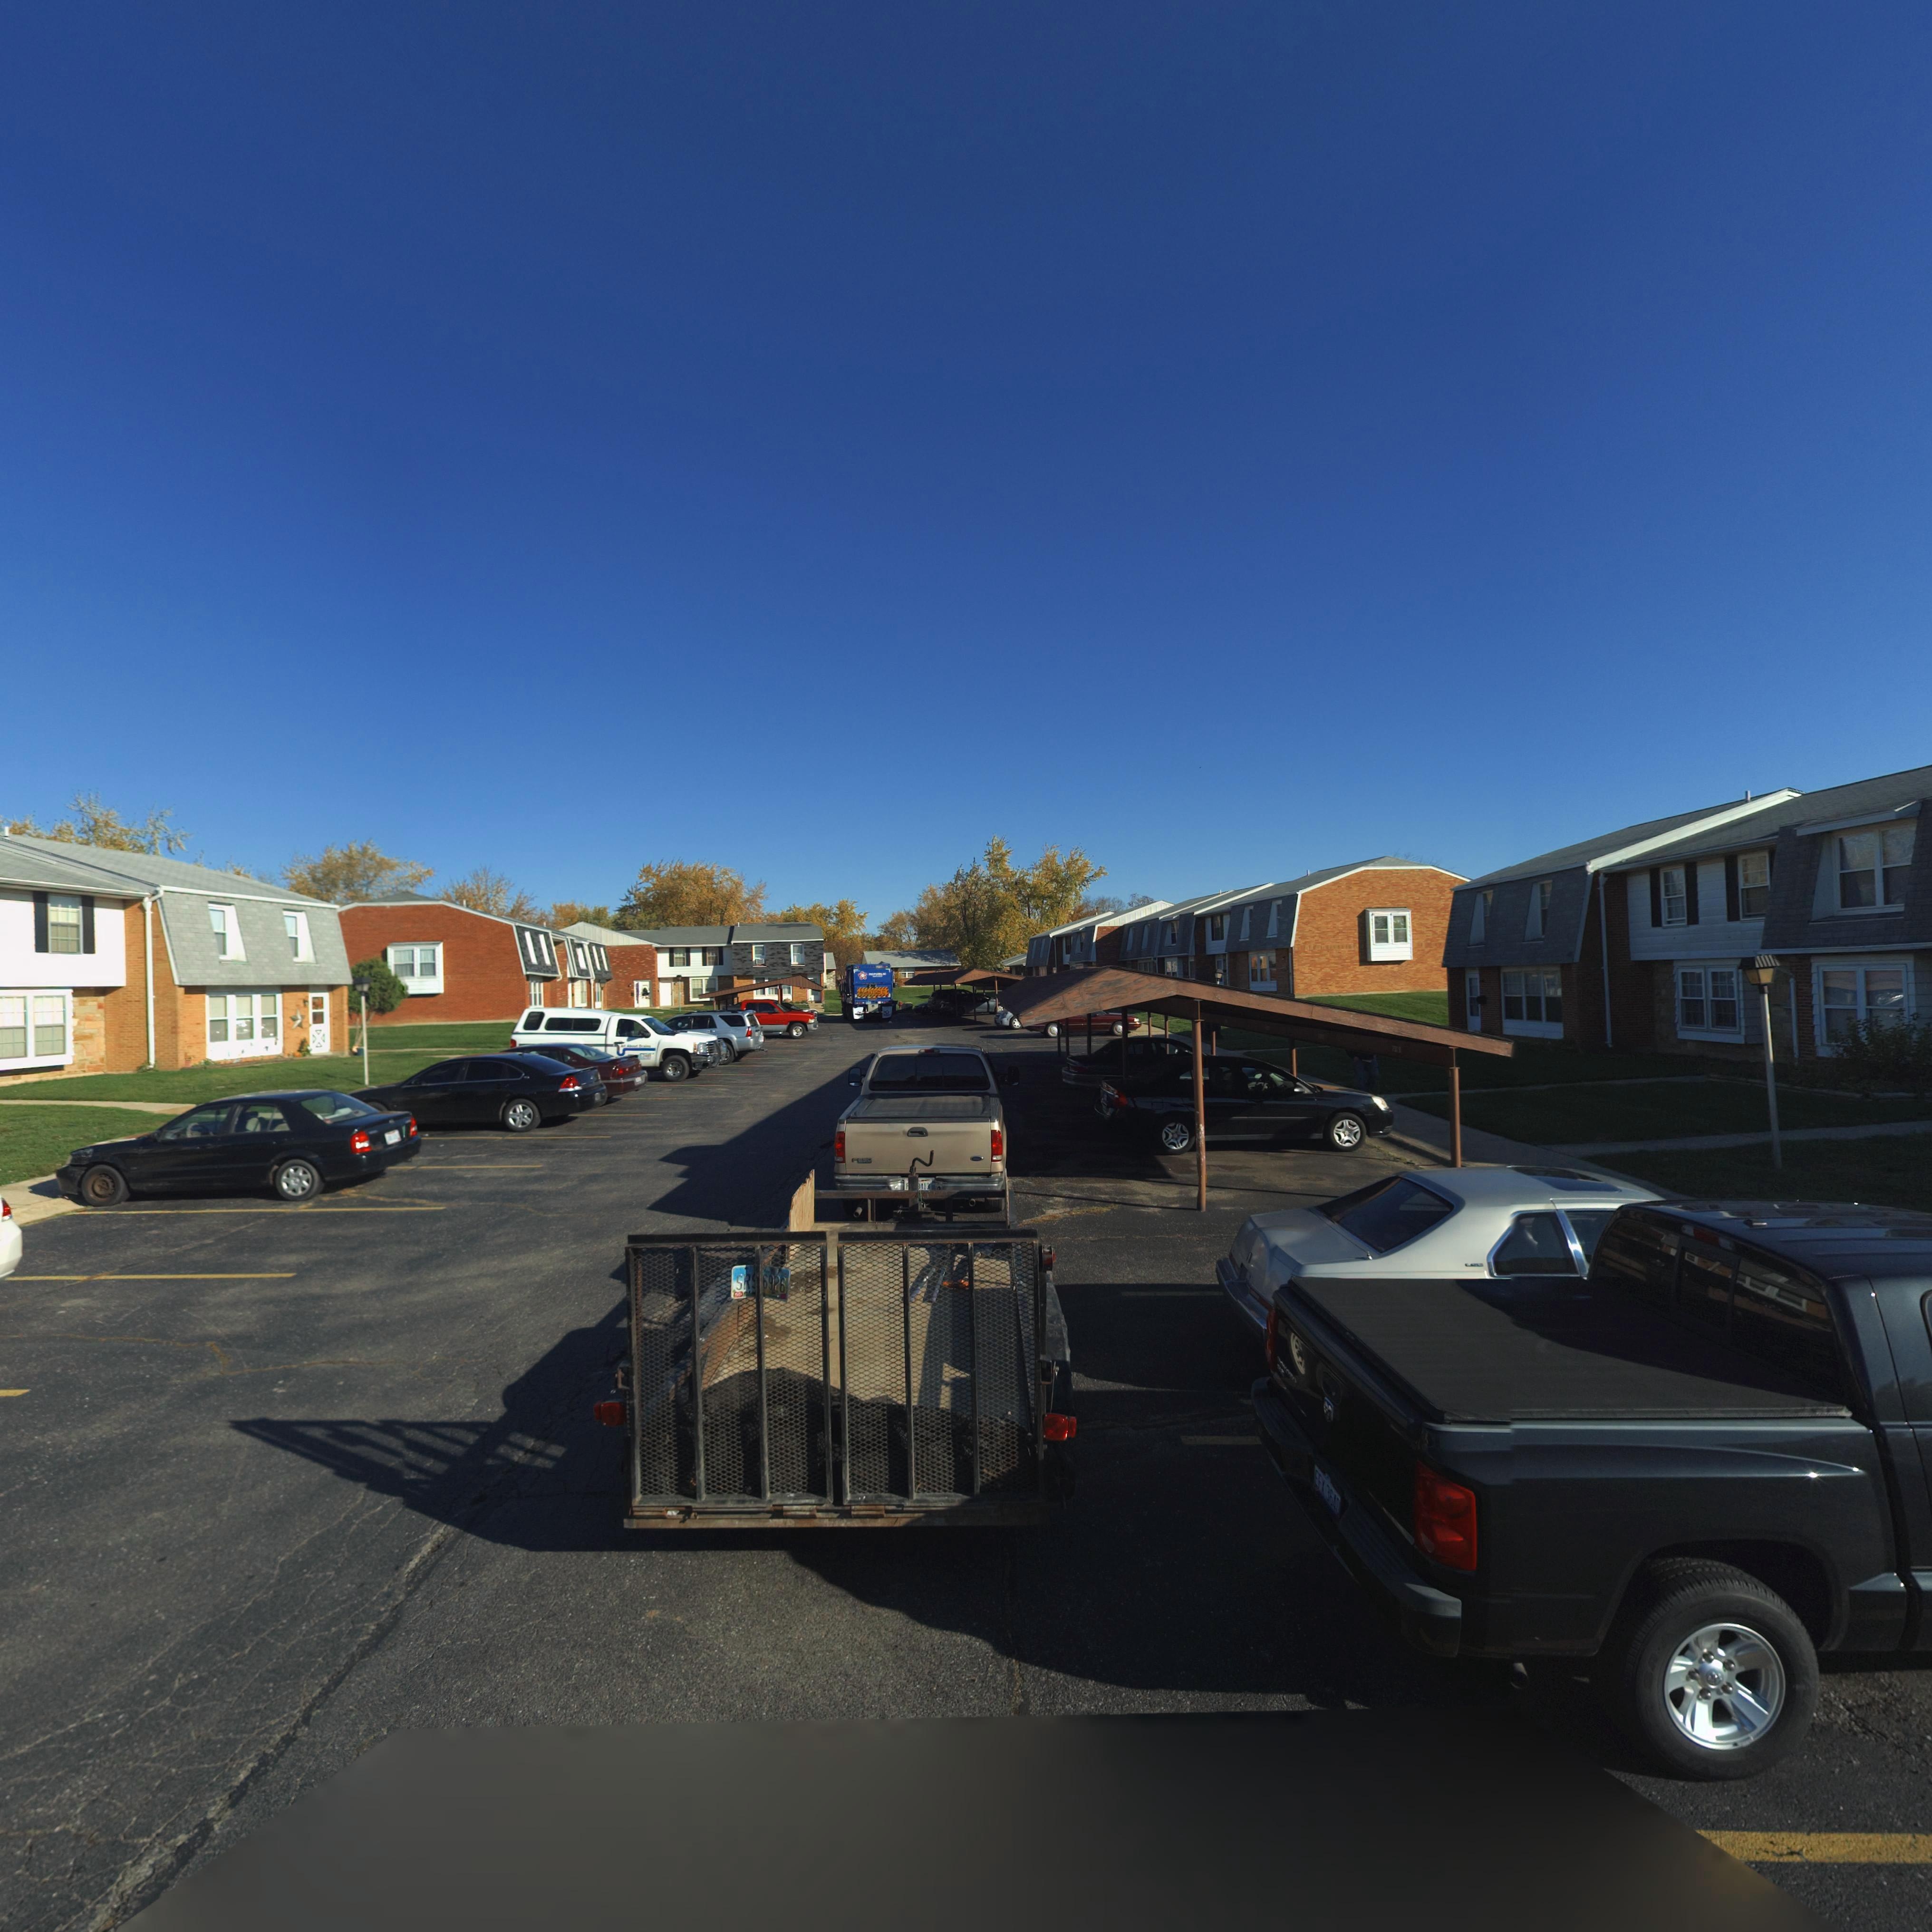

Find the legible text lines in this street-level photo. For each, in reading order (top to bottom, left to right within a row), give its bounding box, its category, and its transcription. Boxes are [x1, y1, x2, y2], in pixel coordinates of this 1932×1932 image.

[1317, 1033, 1324, 1041] StreetNumber: 7***
[1391, 1045, 1401, 1053] StreetNumber: 751*